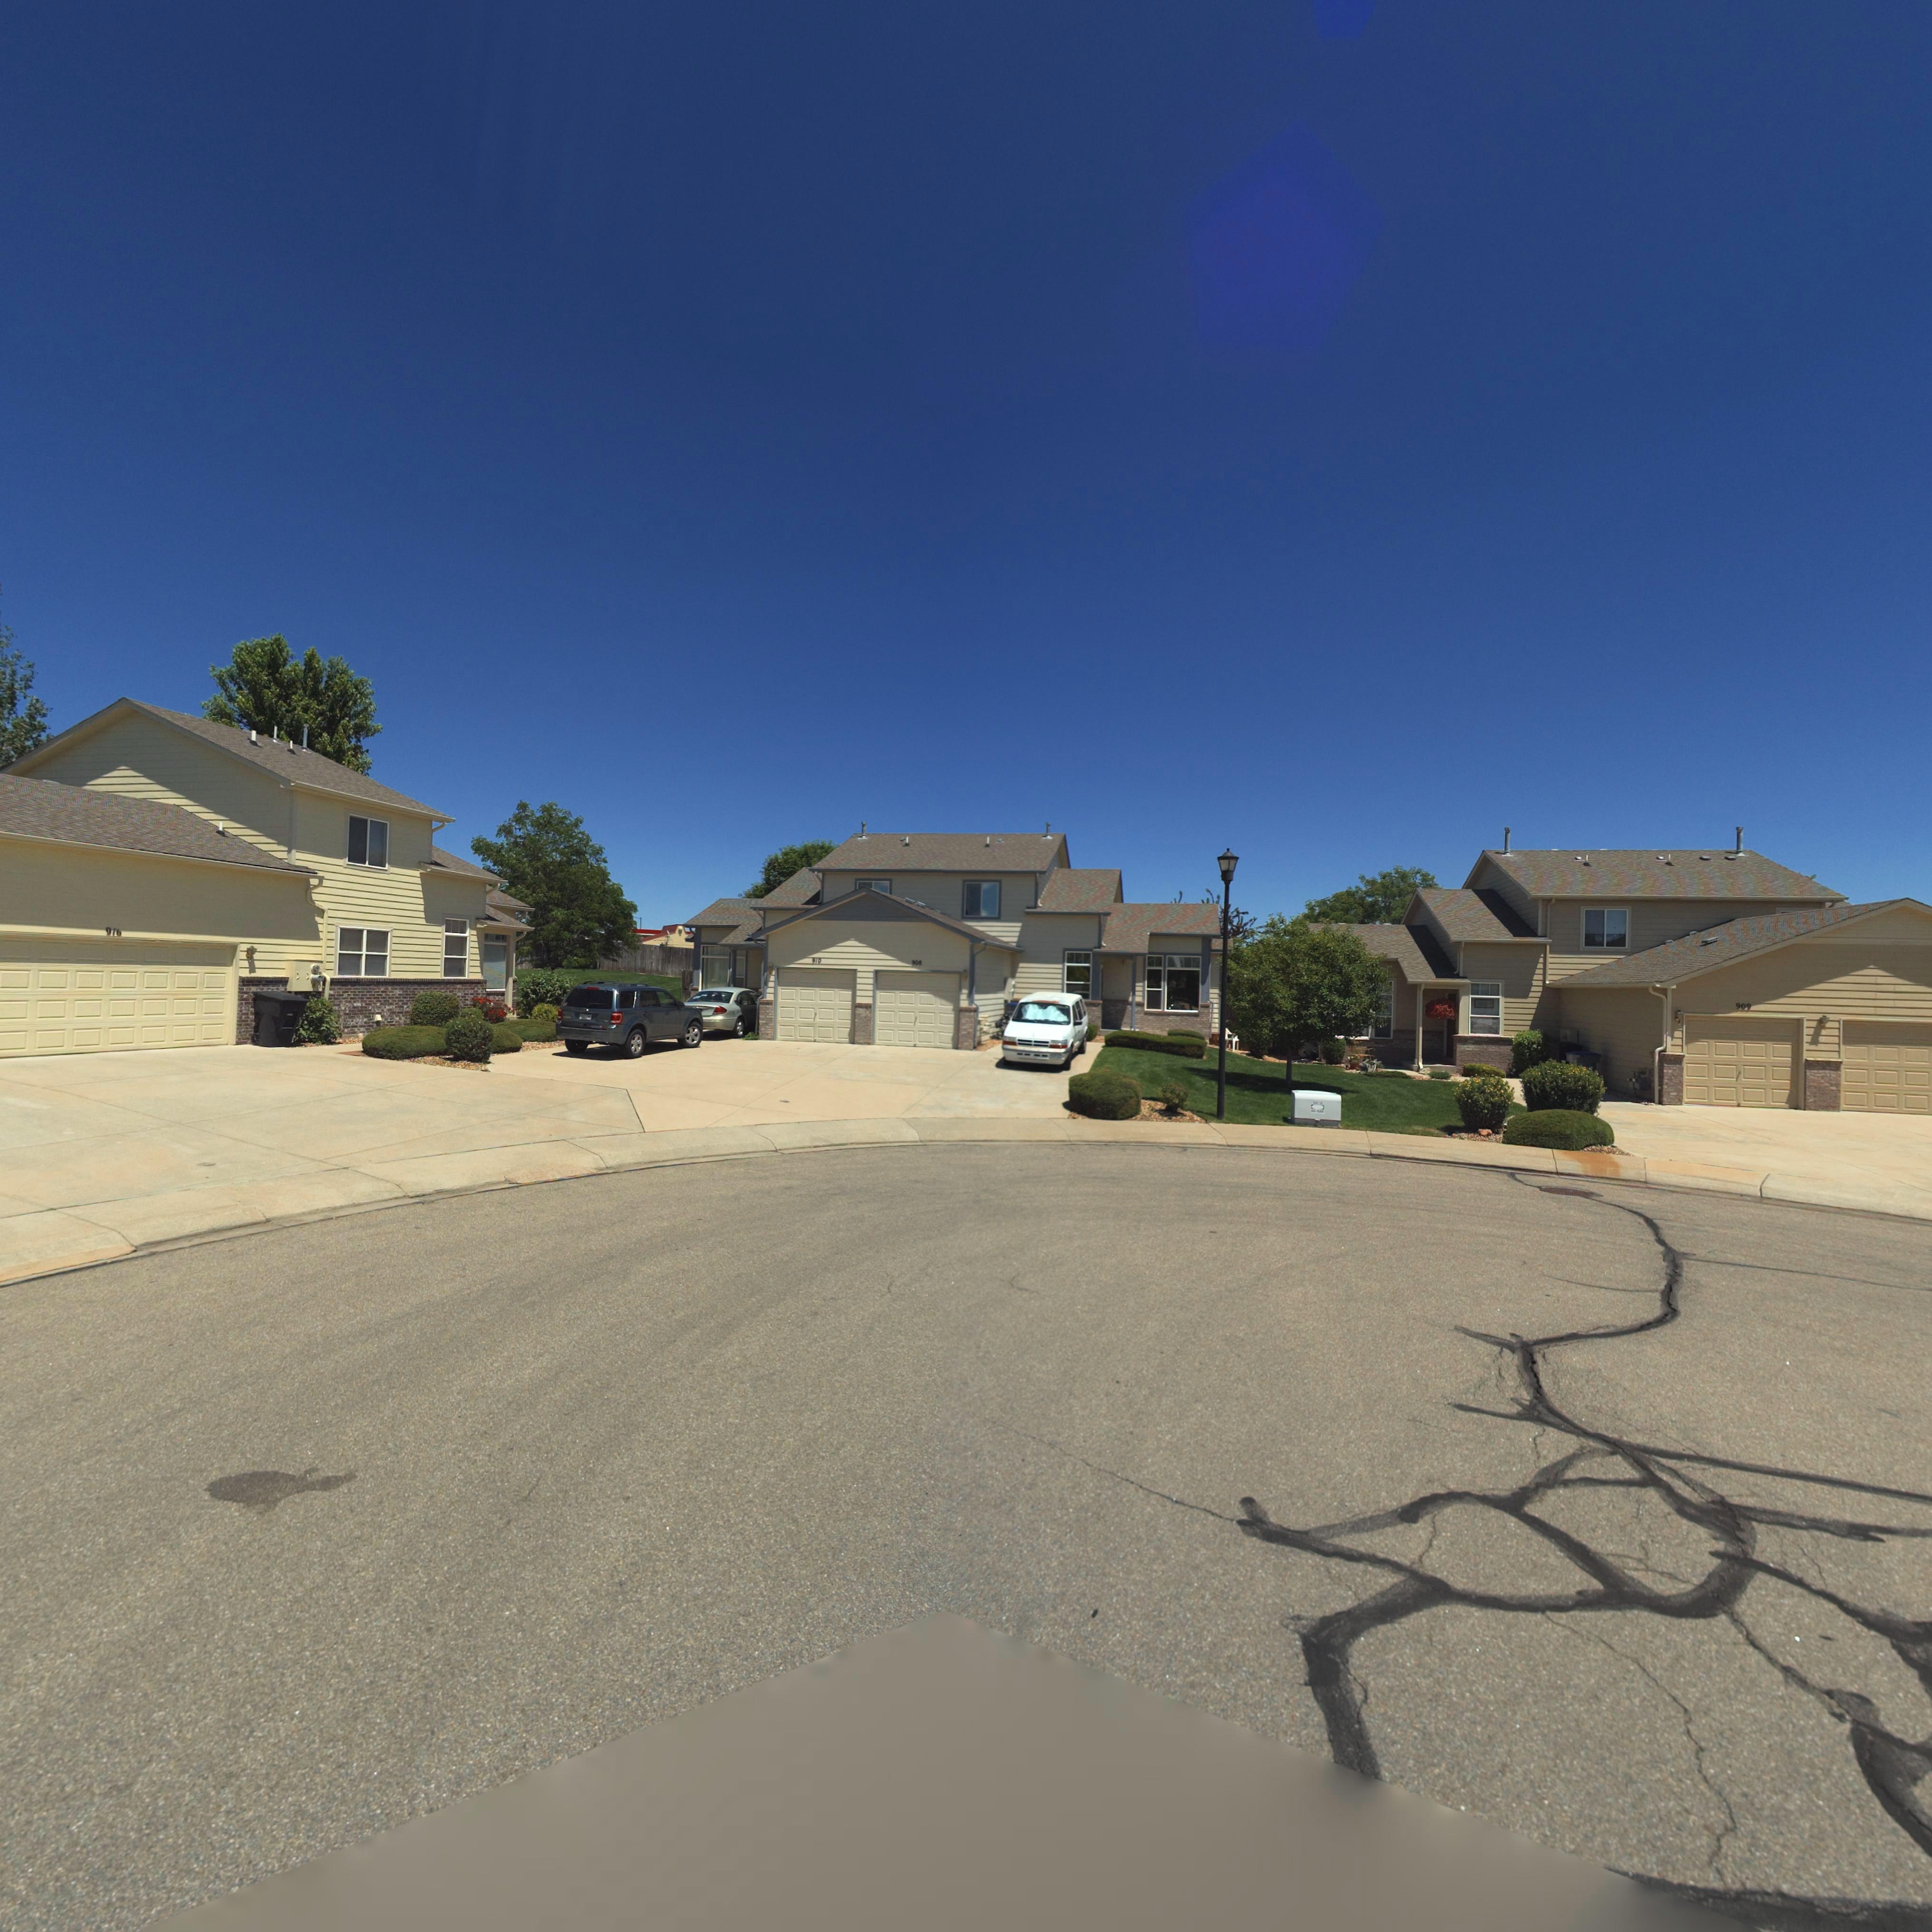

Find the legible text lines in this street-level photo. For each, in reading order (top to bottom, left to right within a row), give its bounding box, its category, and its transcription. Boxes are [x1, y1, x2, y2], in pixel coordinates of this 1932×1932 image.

[105, 926, 122, 936] StreetNumber: 91*
[811, 957, 821, 964] StreetNumber: 910
[911, 959, 922, 966] StreetNumber: 90*
[1735, 1002, 1752, 1010] StreetNumber: 909